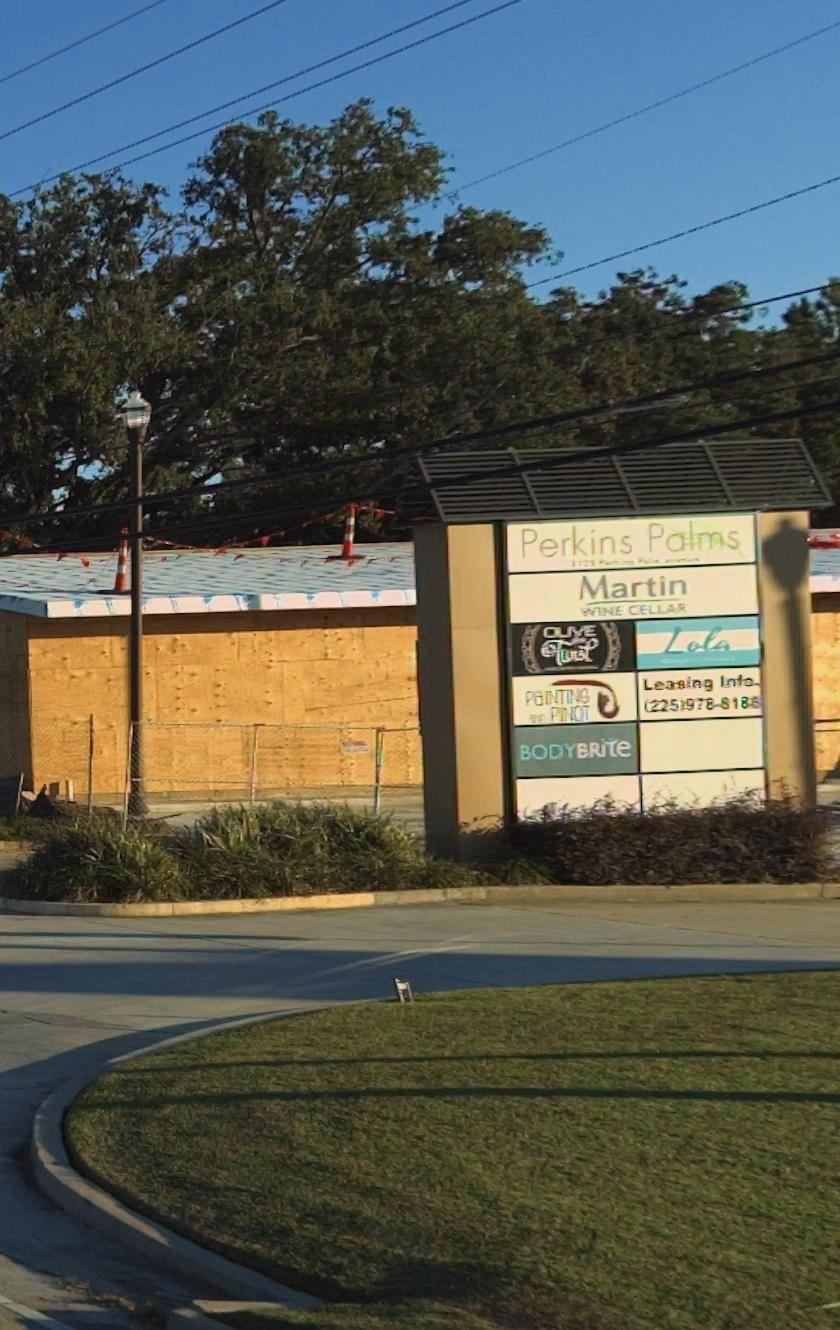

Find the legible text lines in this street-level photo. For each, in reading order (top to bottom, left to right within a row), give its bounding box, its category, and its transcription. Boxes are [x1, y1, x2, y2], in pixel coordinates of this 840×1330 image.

[519, 521, 741, 559] BusinessName: Perkins Palms
[578, 573, 690, 602] BusinessName: Martin
[579, 602, 689, 618] BusinessName: WINE CELLAR
[539, 636, 600, 666] BusinessName: TwisT
[541, 624, 599, 639] BusinessName: OLIVe
[660, 625, 732, 656] BusinessName: Lola
[642, 673, 755, 693] None: Leasing Info.
[523, 687, 592, 708] BusinessName: PaINTING
[528, 705, 592, 724] BusinessName: and PINOT
[643, 695, 763, 715] None: (225*978-8186
[519, 737, 632, 762] BusinessName: BODYBRITe